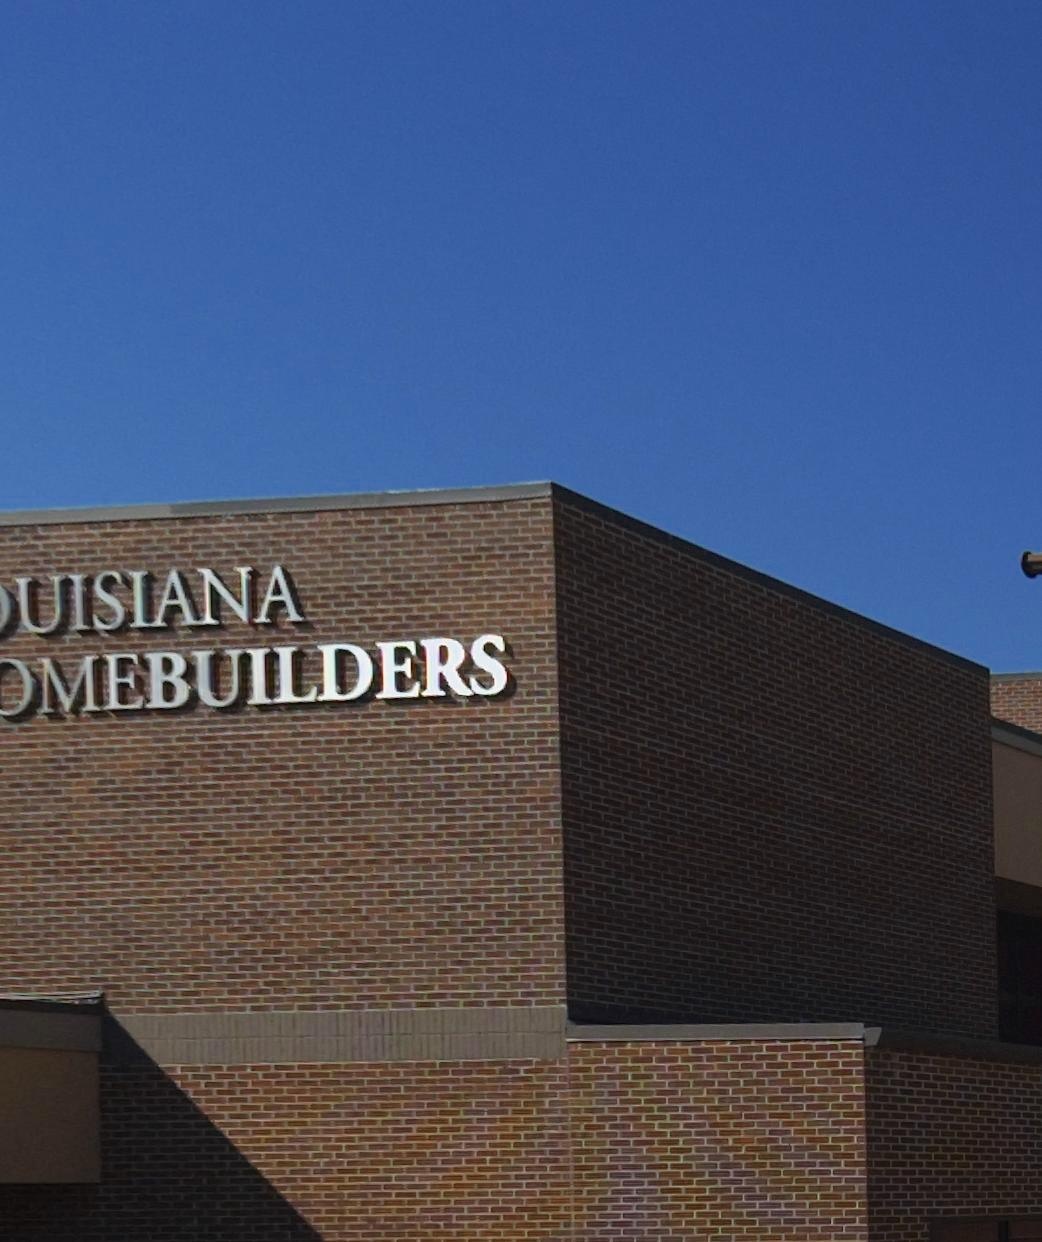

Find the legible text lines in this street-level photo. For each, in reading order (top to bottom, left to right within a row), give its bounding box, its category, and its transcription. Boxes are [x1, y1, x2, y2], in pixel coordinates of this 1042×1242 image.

[11, 561, 310, 637] BusinessName: UISIANA
[34, 630, 512, 716] BusinessName: MEBUILDERS